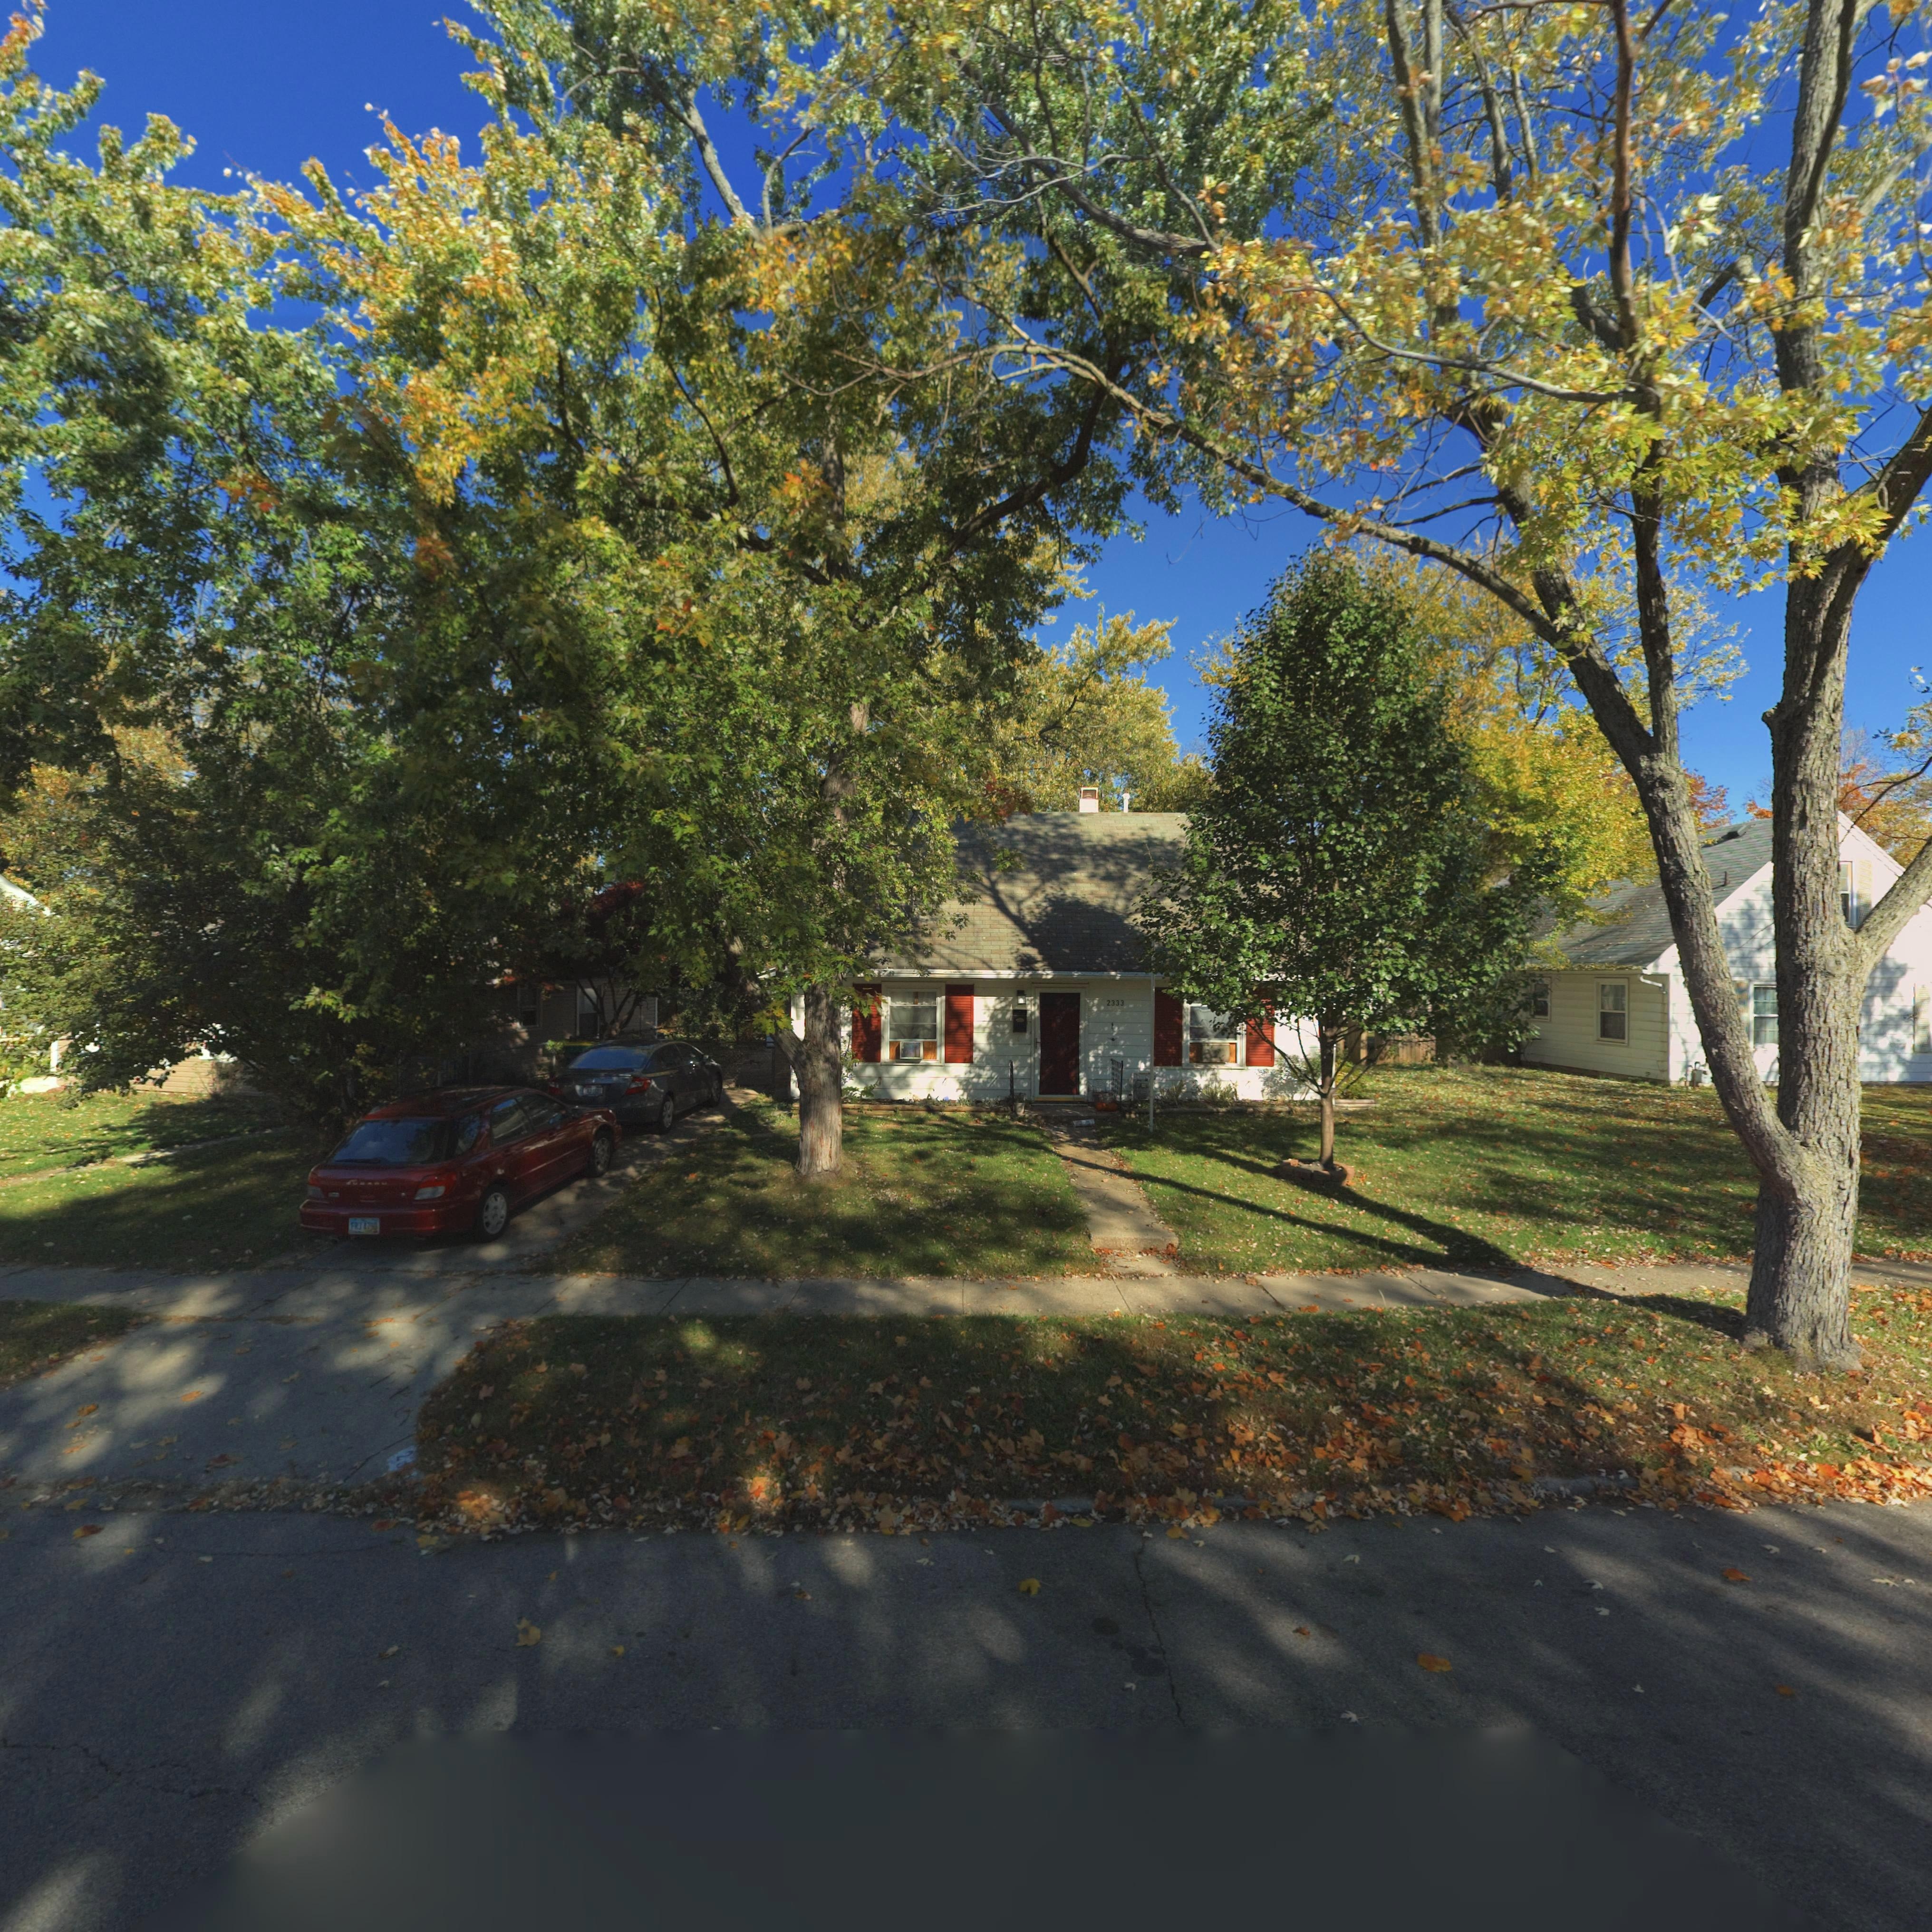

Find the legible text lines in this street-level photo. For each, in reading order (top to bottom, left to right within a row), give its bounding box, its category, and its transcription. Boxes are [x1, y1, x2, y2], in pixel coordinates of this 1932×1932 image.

[1106, 999, 1125, 1007] StreetNumber: 2333
[396, 1449, 415, 1463] StreetNumber: 2